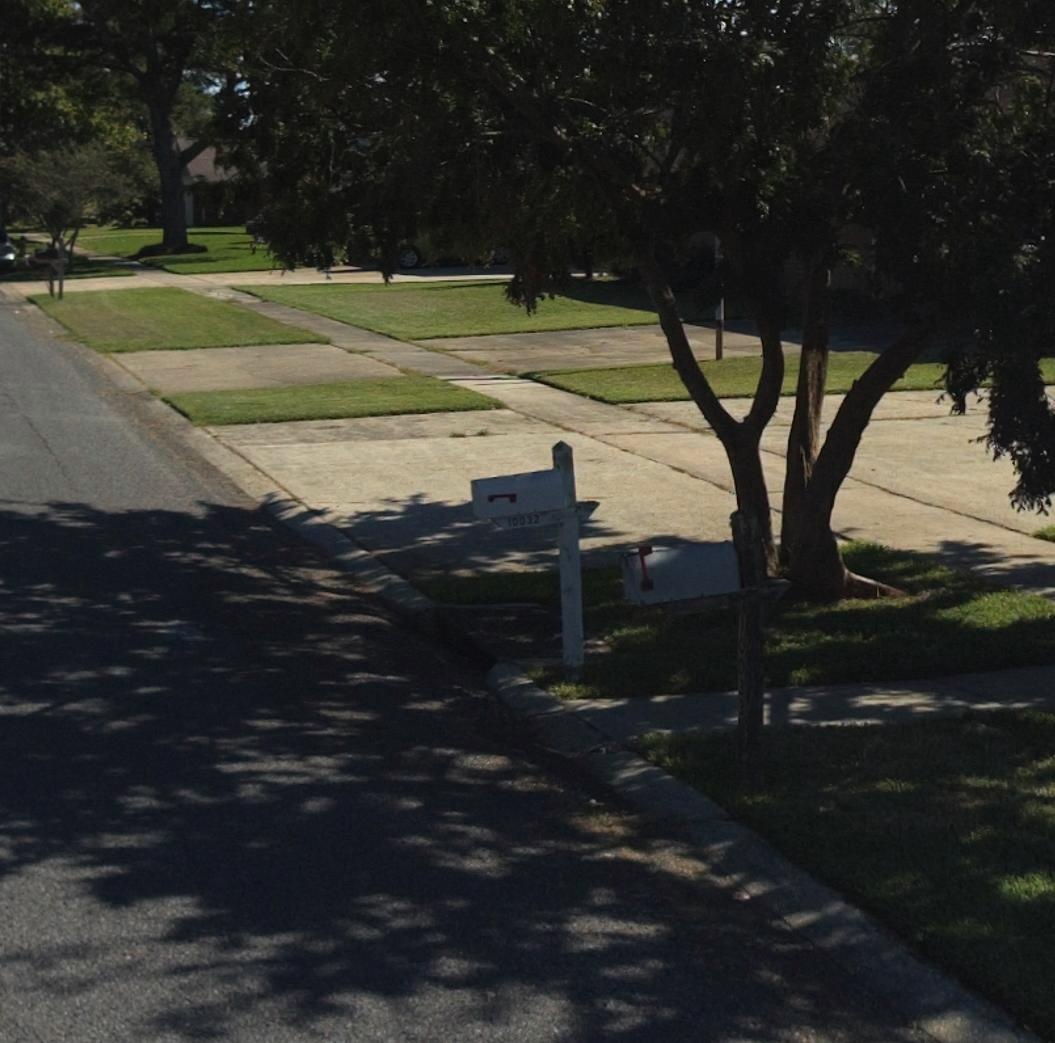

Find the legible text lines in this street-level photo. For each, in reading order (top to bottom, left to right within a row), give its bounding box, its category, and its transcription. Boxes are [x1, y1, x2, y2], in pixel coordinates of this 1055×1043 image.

[506, 514, 541, 527] StreetNumber: 10032